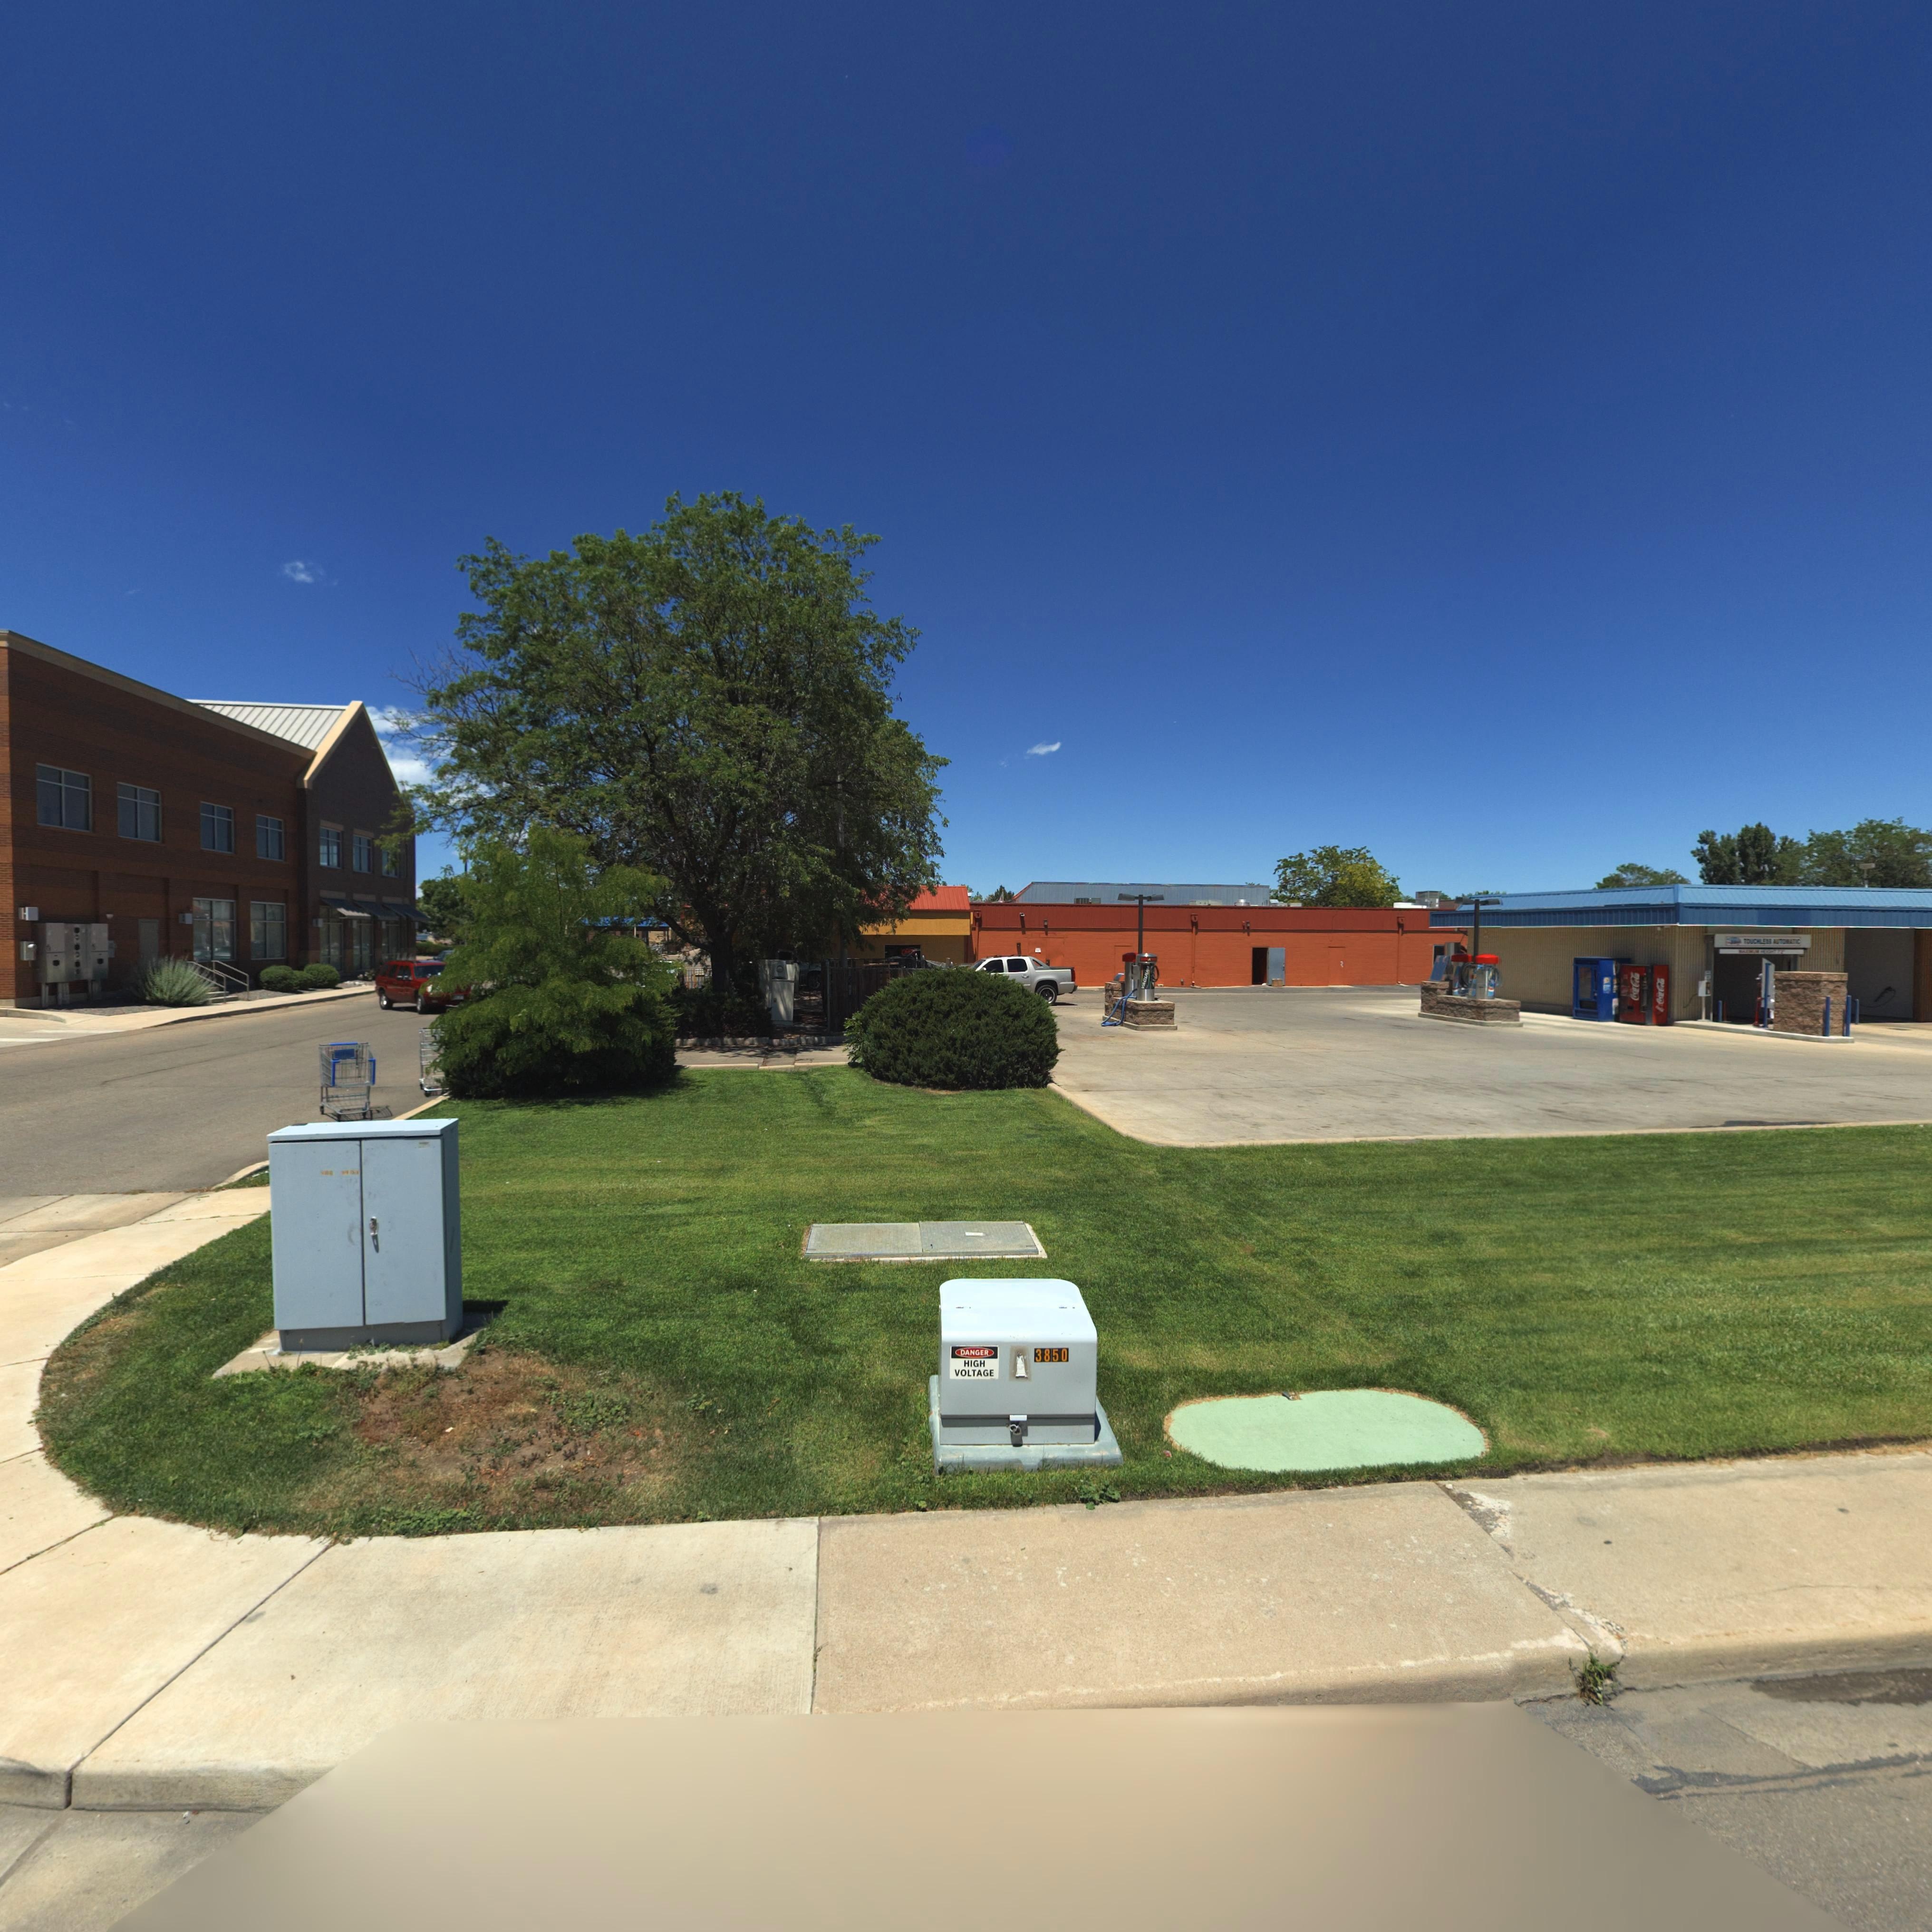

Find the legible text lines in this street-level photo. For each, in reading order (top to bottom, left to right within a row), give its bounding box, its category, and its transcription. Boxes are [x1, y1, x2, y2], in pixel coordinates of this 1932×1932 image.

[1743, 938, 1801, 944] BusinessName: TOUCHLESS AUTOMATIC